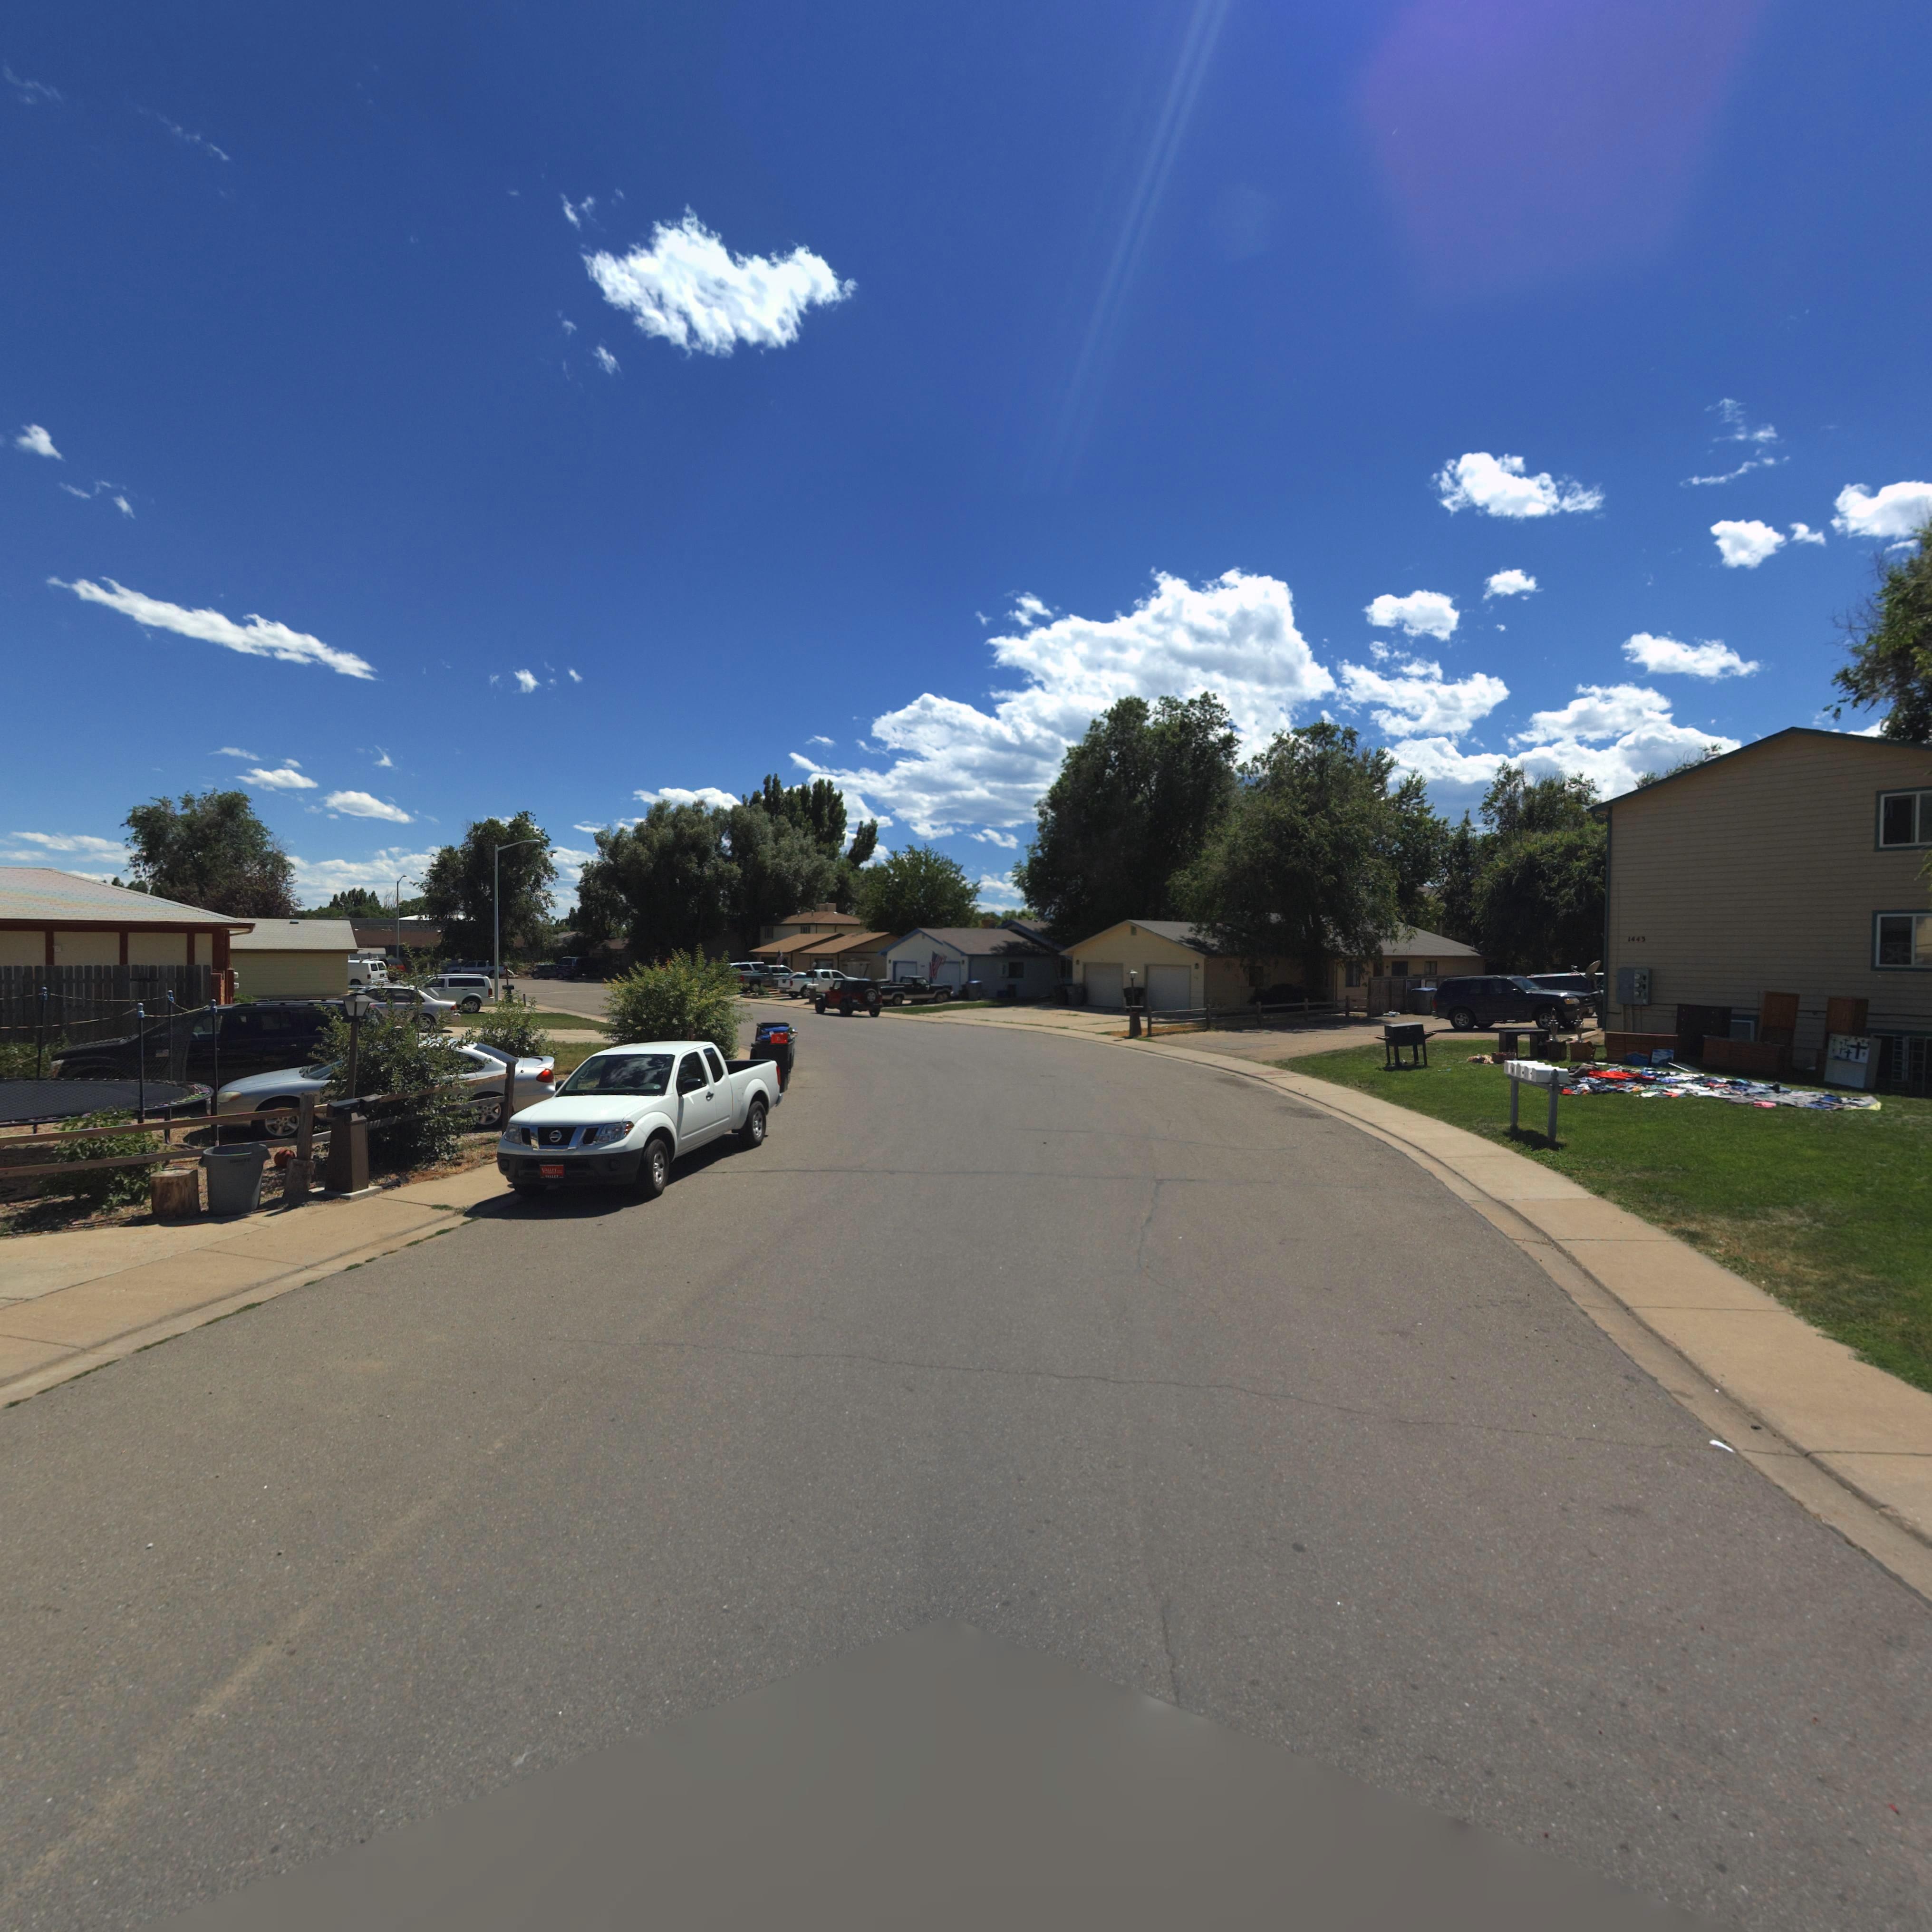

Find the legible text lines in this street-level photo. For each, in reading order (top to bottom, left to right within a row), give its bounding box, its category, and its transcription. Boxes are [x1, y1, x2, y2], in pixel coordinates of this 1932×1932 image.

[1628, 936, 1646, 942] StreetNumber: 1443